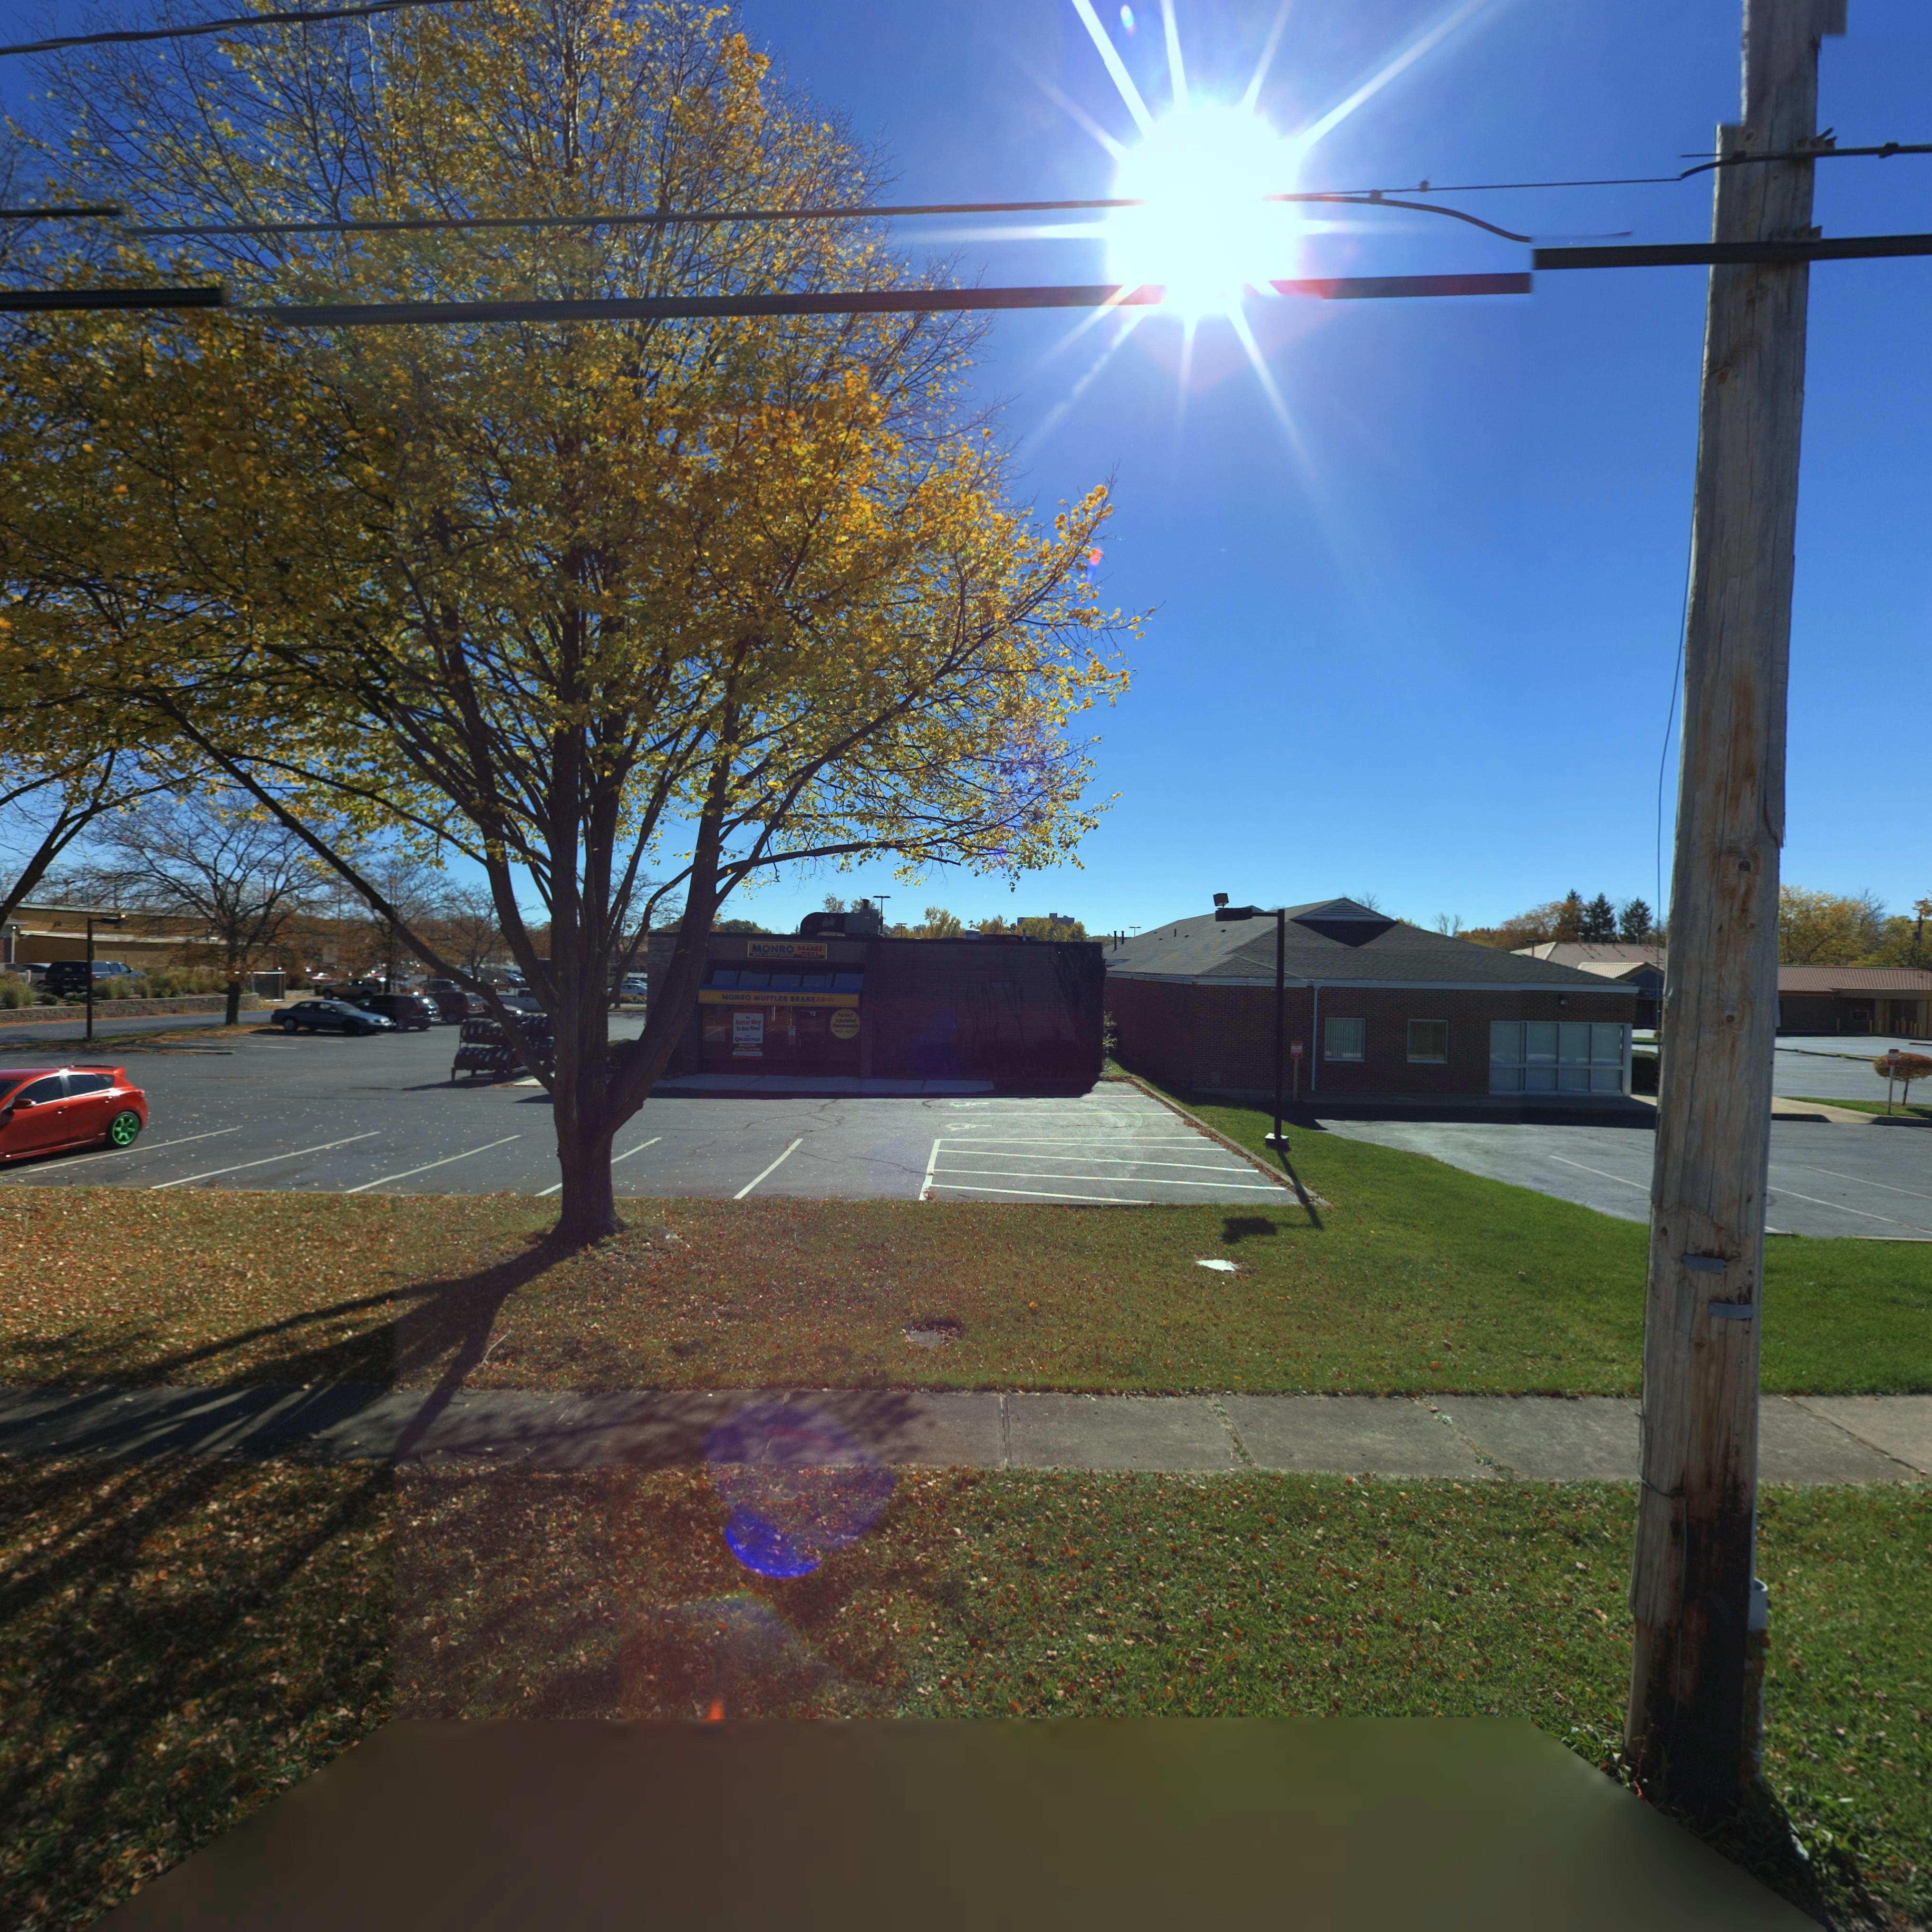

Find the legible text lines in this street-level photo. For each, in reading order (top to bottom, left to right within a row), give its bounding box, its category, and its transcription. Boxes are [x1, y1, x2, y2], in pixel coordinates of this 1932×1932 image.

[751, 943, 796, 954] BusinessName: MONRO
[797, 945, 823, 952] BusinessName: BRAKES
[800, 951, 820, 958] BusinessName: TIRES
[721, 994, 816, 1003] BusinessName: MONRO MUFFLER BRAKE
[809, 1011, 817, 1017] StreetNumber: 12
[837, 1012, 853, 1019] None: Factory
[734, 1019, 762, 1026] None: Better Way
[735, 1026, 762, 1032] None: To Buy Tires!
[834, 1017, 857, 1024] None: Scheduled
[831, 1023, 860, 1029] None: Maintenance
[738, 1043, 757, 1048] None: INCLUDES
[733, 1047, 761, 1052] None: INSTALLATION